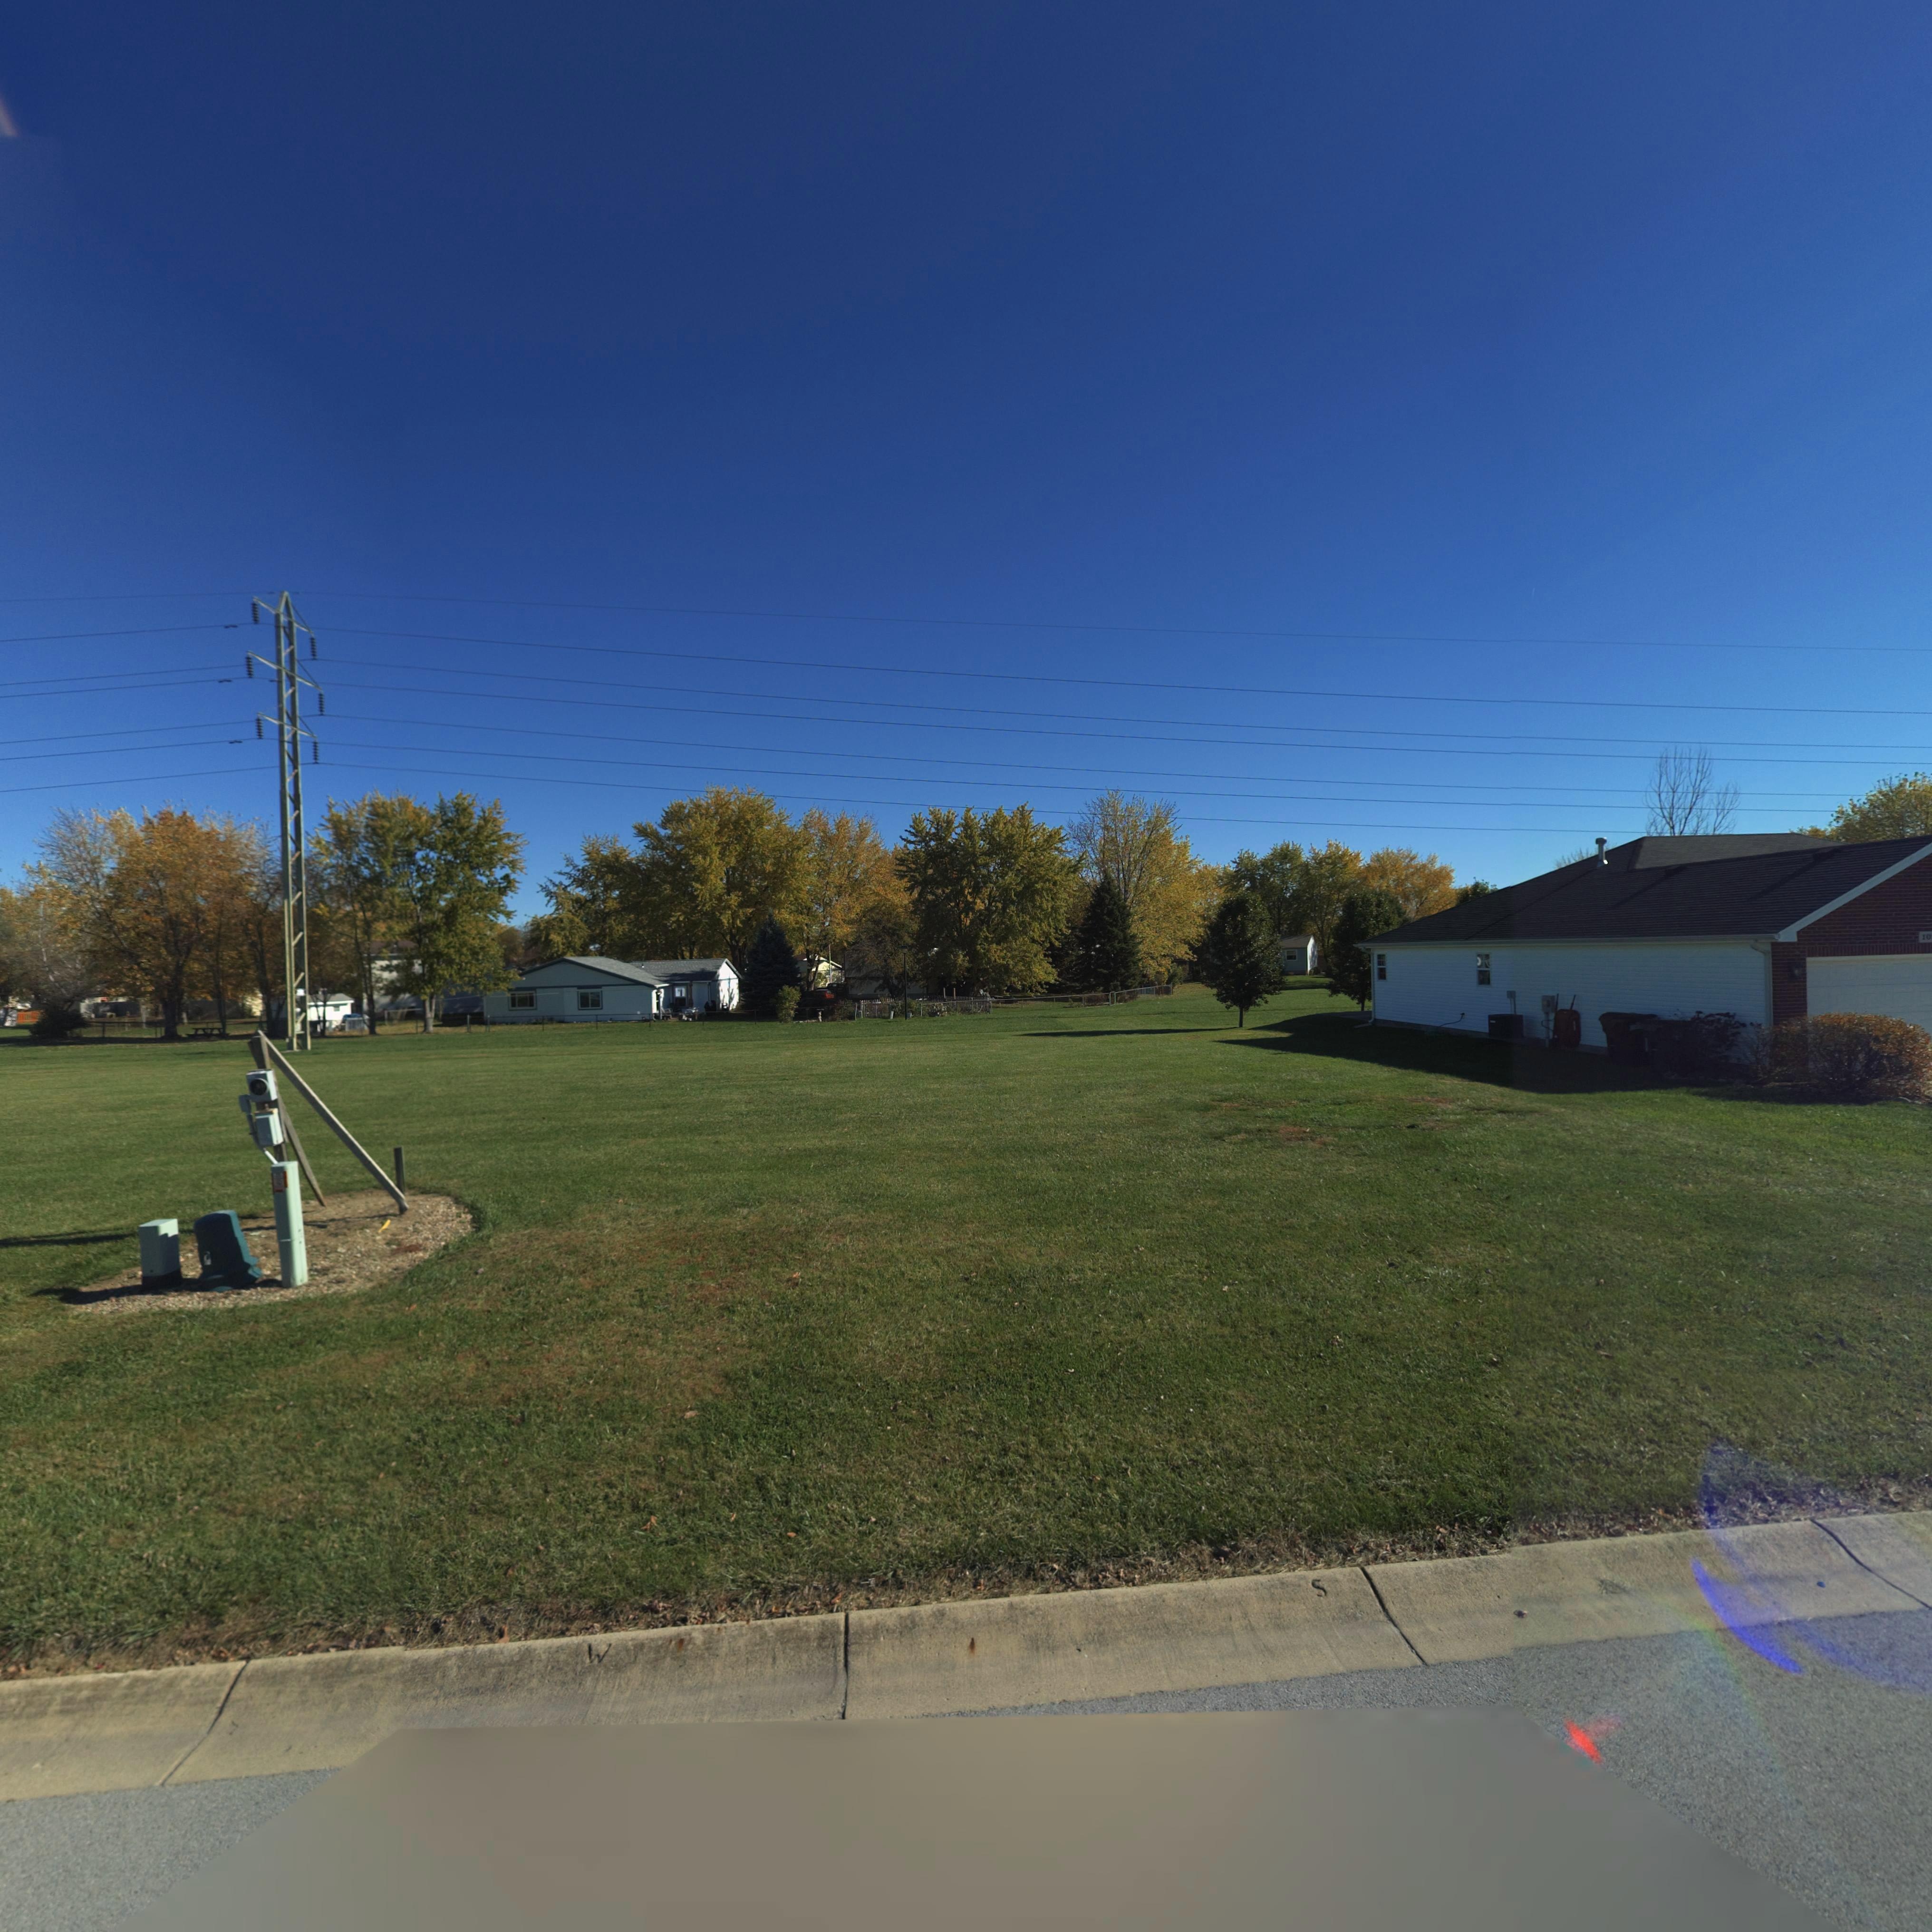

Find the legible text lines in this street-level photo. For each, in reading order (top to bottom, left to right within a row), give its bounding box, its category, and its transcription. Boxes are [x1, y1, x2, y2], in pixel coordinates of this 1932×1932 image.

[1921, 933, 1932, 941] StreetNumber: 10